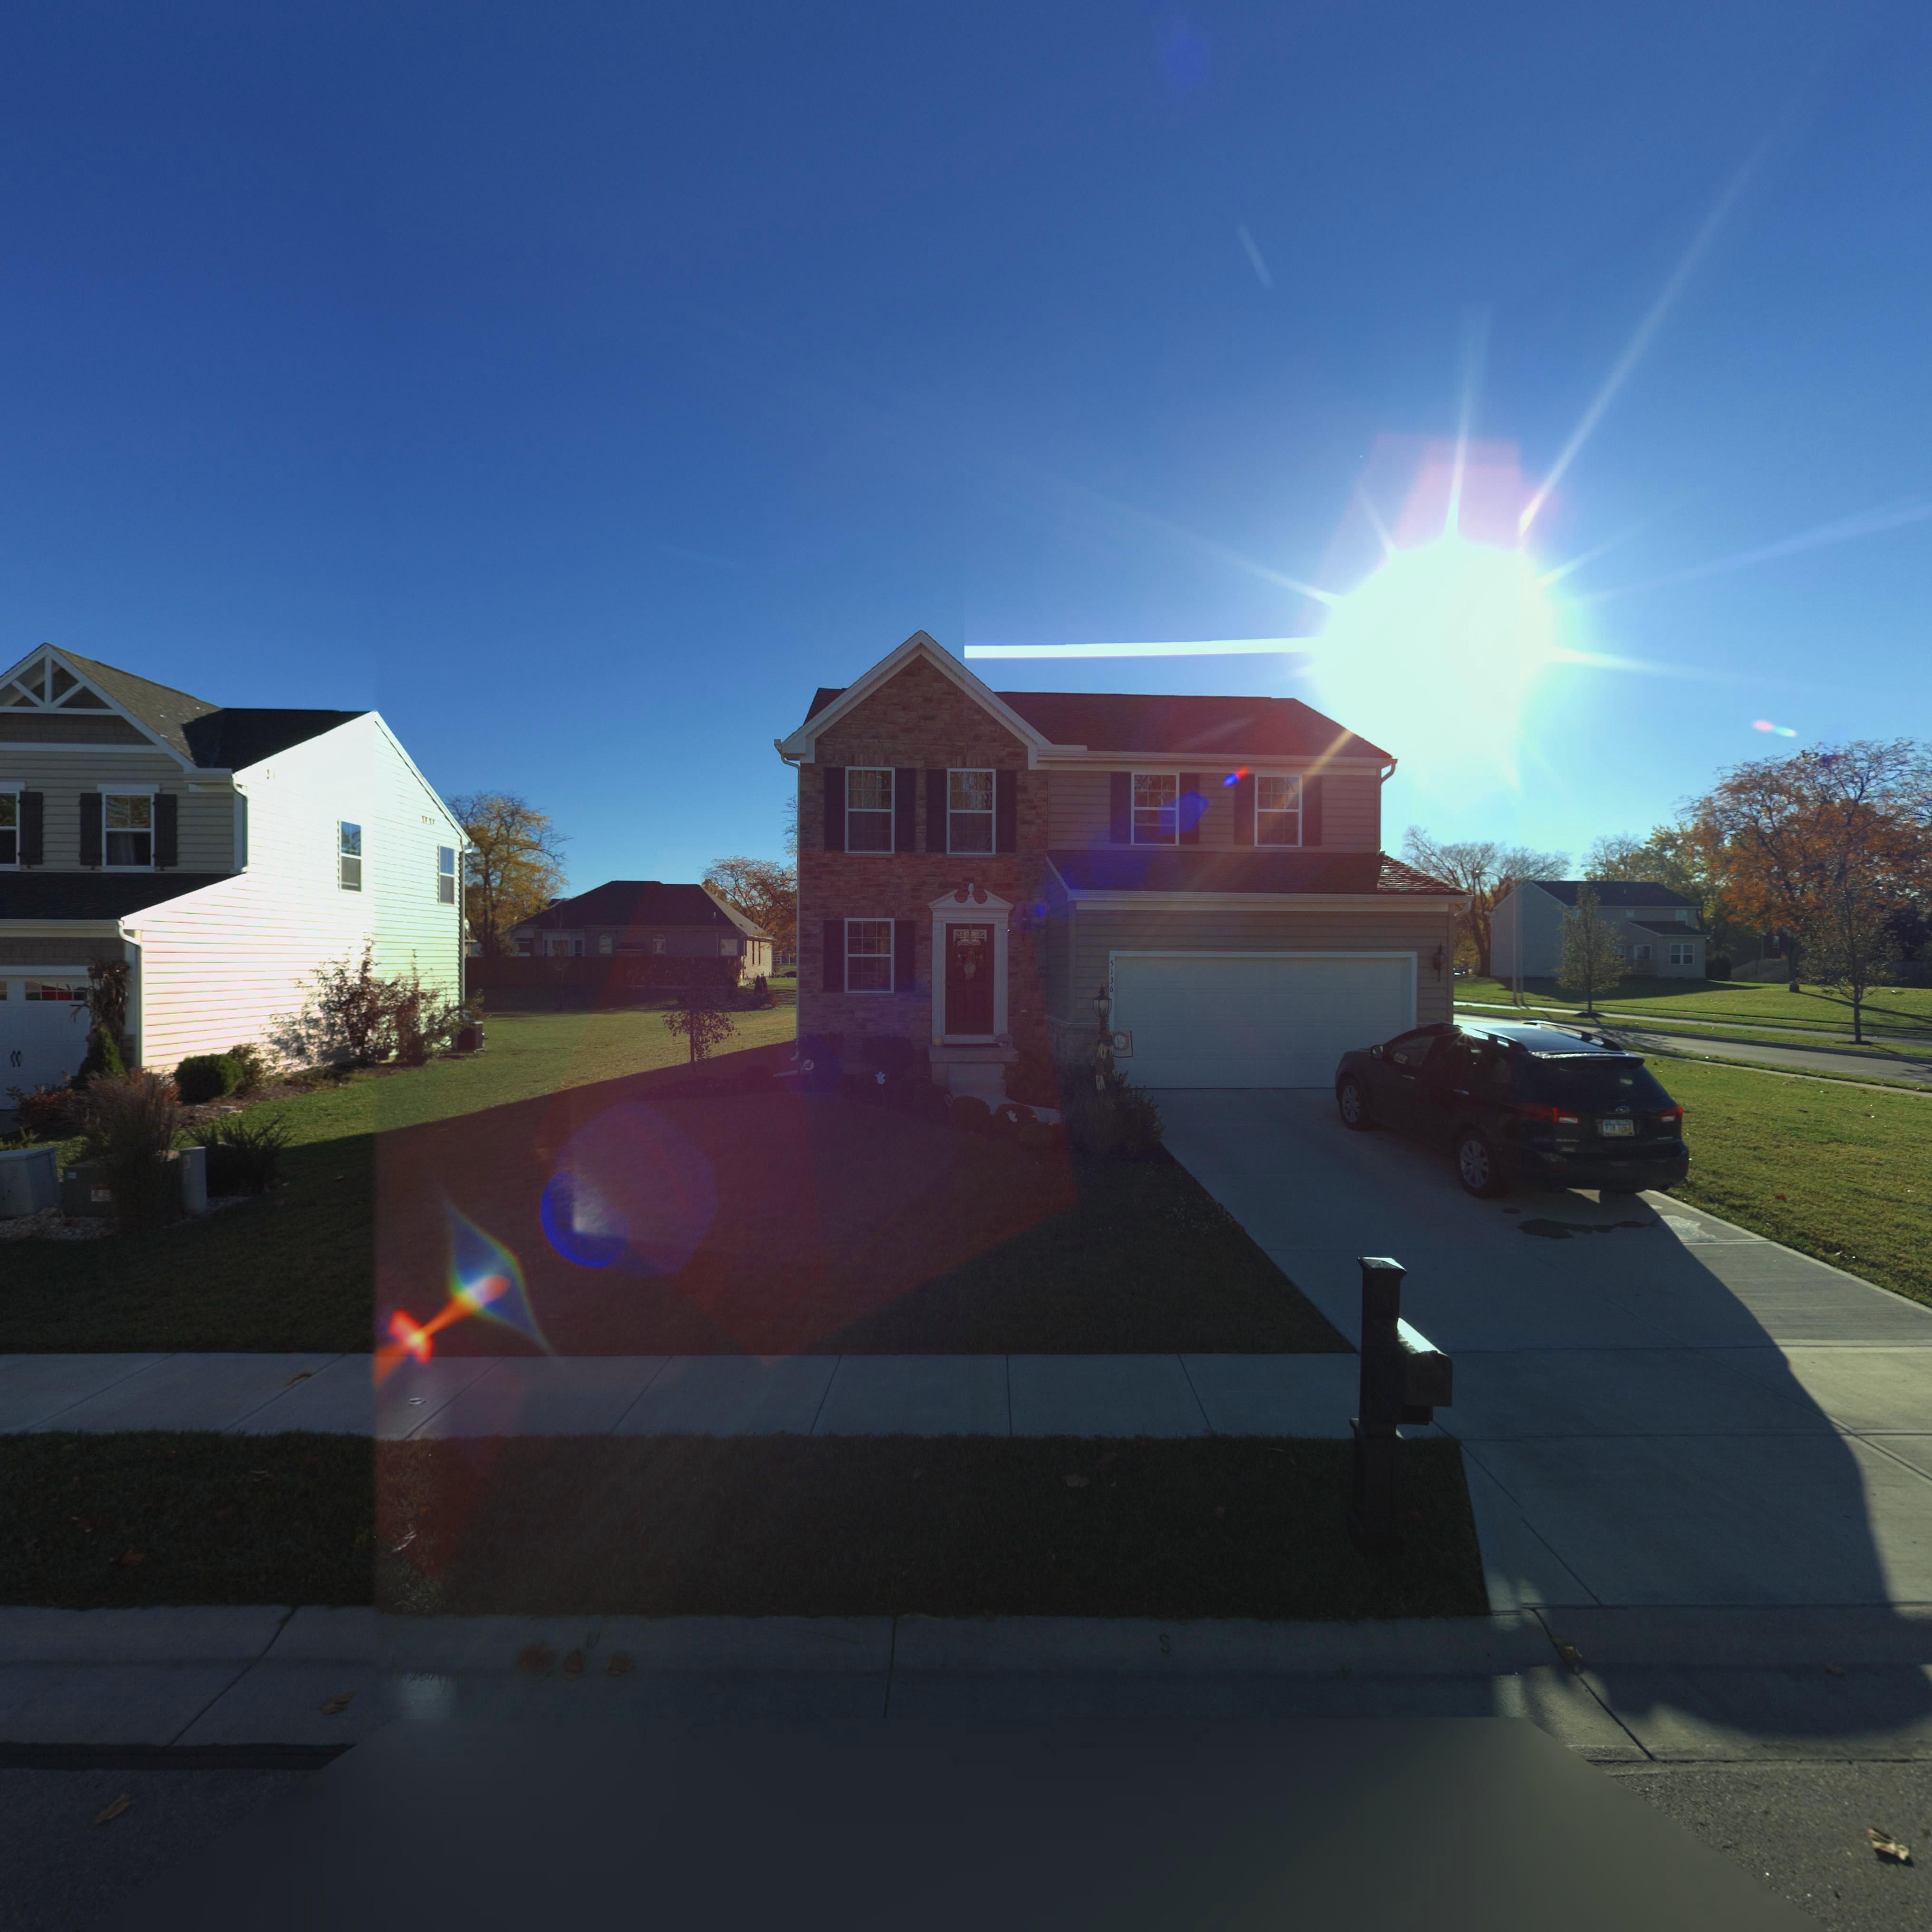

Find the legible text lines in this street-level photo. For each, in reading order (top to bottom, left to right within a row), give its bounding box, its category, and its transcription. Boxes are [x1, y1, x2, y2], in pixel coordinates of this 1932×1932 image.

[1109, 959, 1115, 993] StreetNumber: 5136